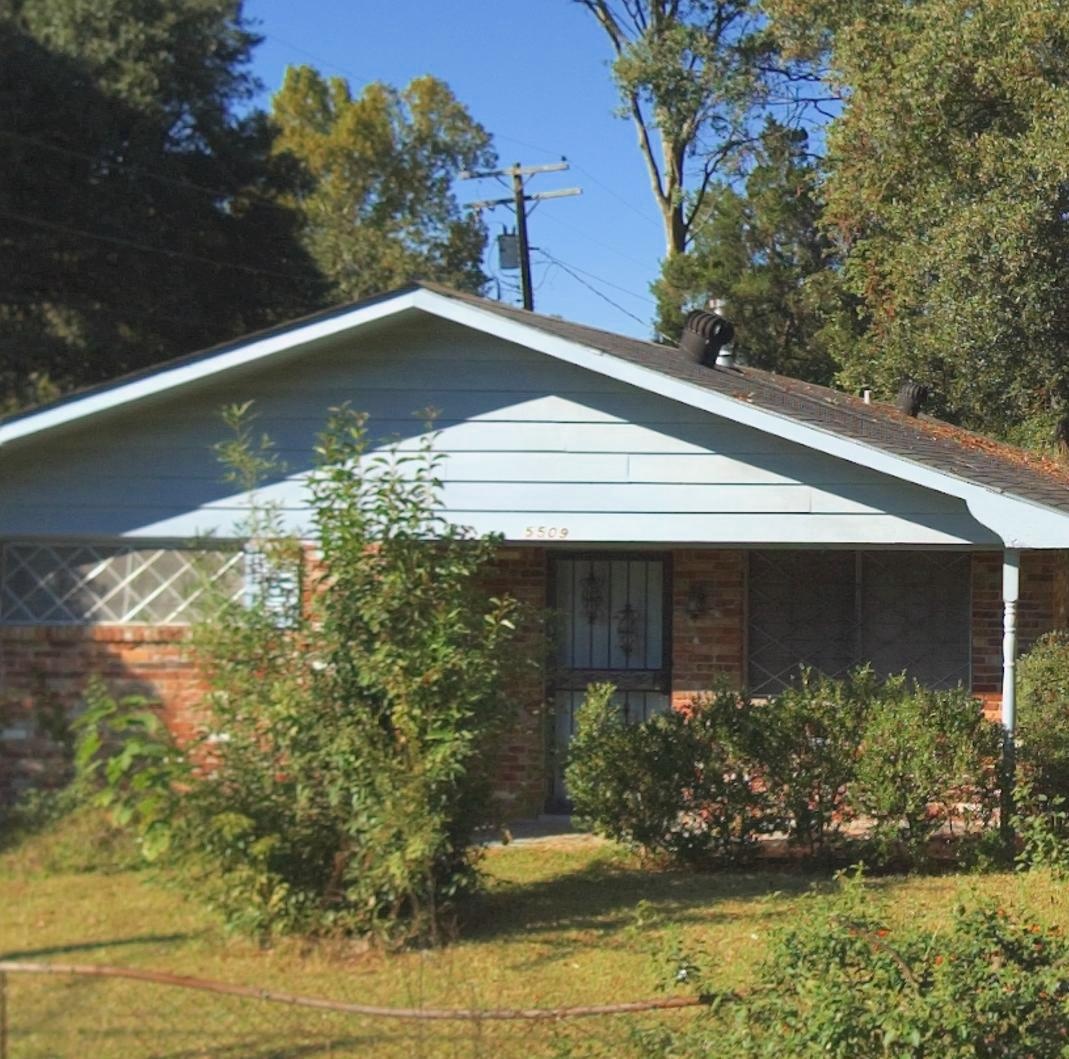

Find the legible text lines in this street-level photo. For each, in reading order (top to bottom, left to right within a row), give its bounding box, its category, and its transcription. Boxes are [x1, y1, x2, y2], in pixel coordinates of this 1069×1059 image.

[523, 524, 571, 540] StreetNumber: 5509